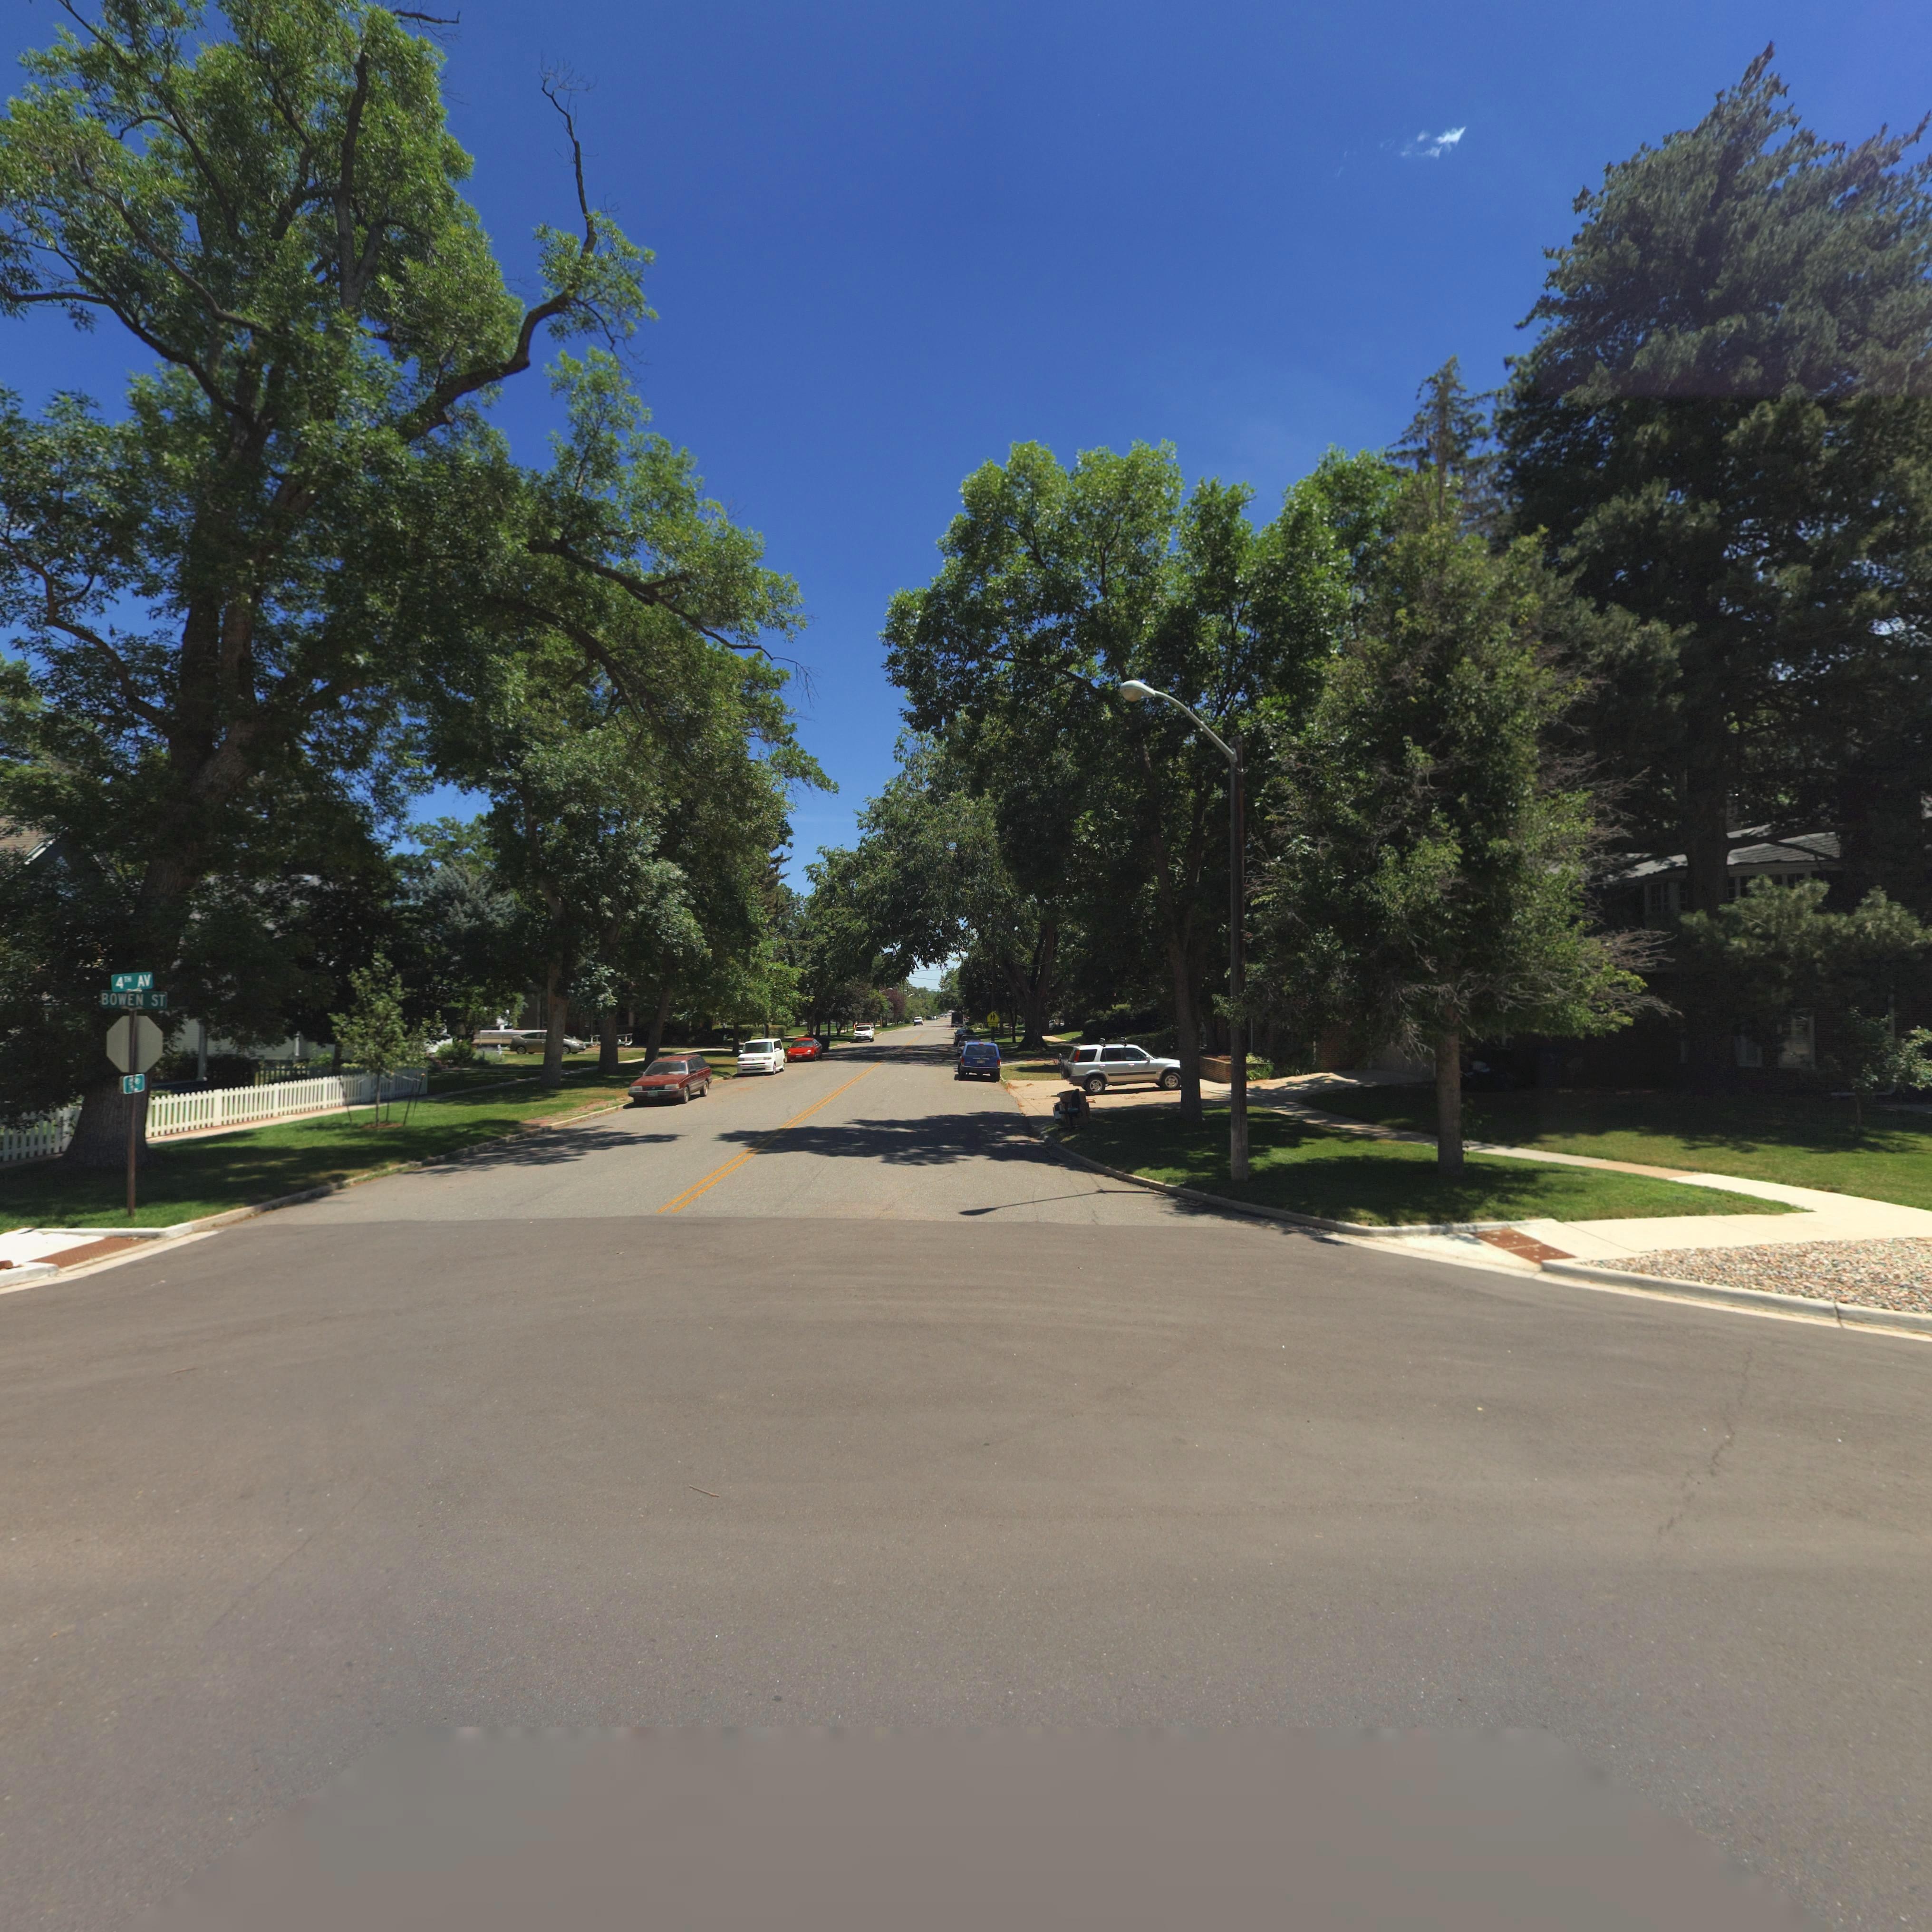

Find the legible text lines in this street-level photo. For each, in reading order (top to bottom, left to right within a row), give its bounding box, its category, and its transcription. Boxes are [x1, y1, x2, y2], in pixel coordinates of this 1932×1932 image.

[114, 973, 151, 989] StreetName: 4TH AV
[101, 993, 166, 1007] StreetName: BOWEN ST